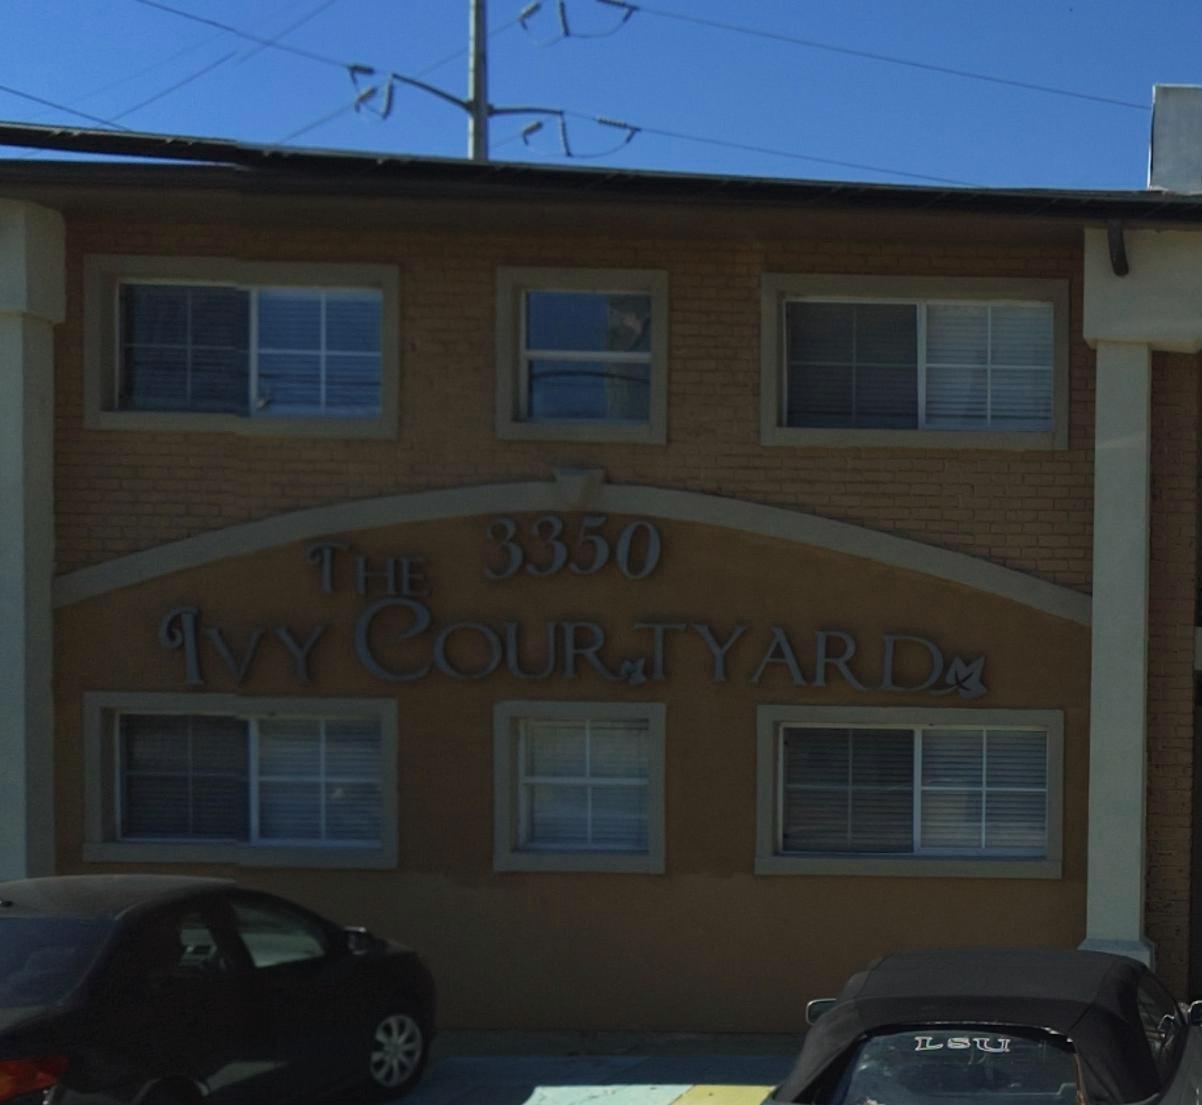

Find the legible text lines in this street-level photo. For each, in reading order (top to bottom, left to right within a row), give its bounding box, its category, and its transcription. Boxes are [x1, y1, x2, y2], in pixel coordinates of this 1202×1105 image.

[302, 538, 433, 599] BusinessName: THE
[482, 514, 662, 581] StreetNumber: 3350
[155, 596, 946, 695] BusinessName: IVY COURTYARD
[913, 1035, 1011, 1053] None: LSU